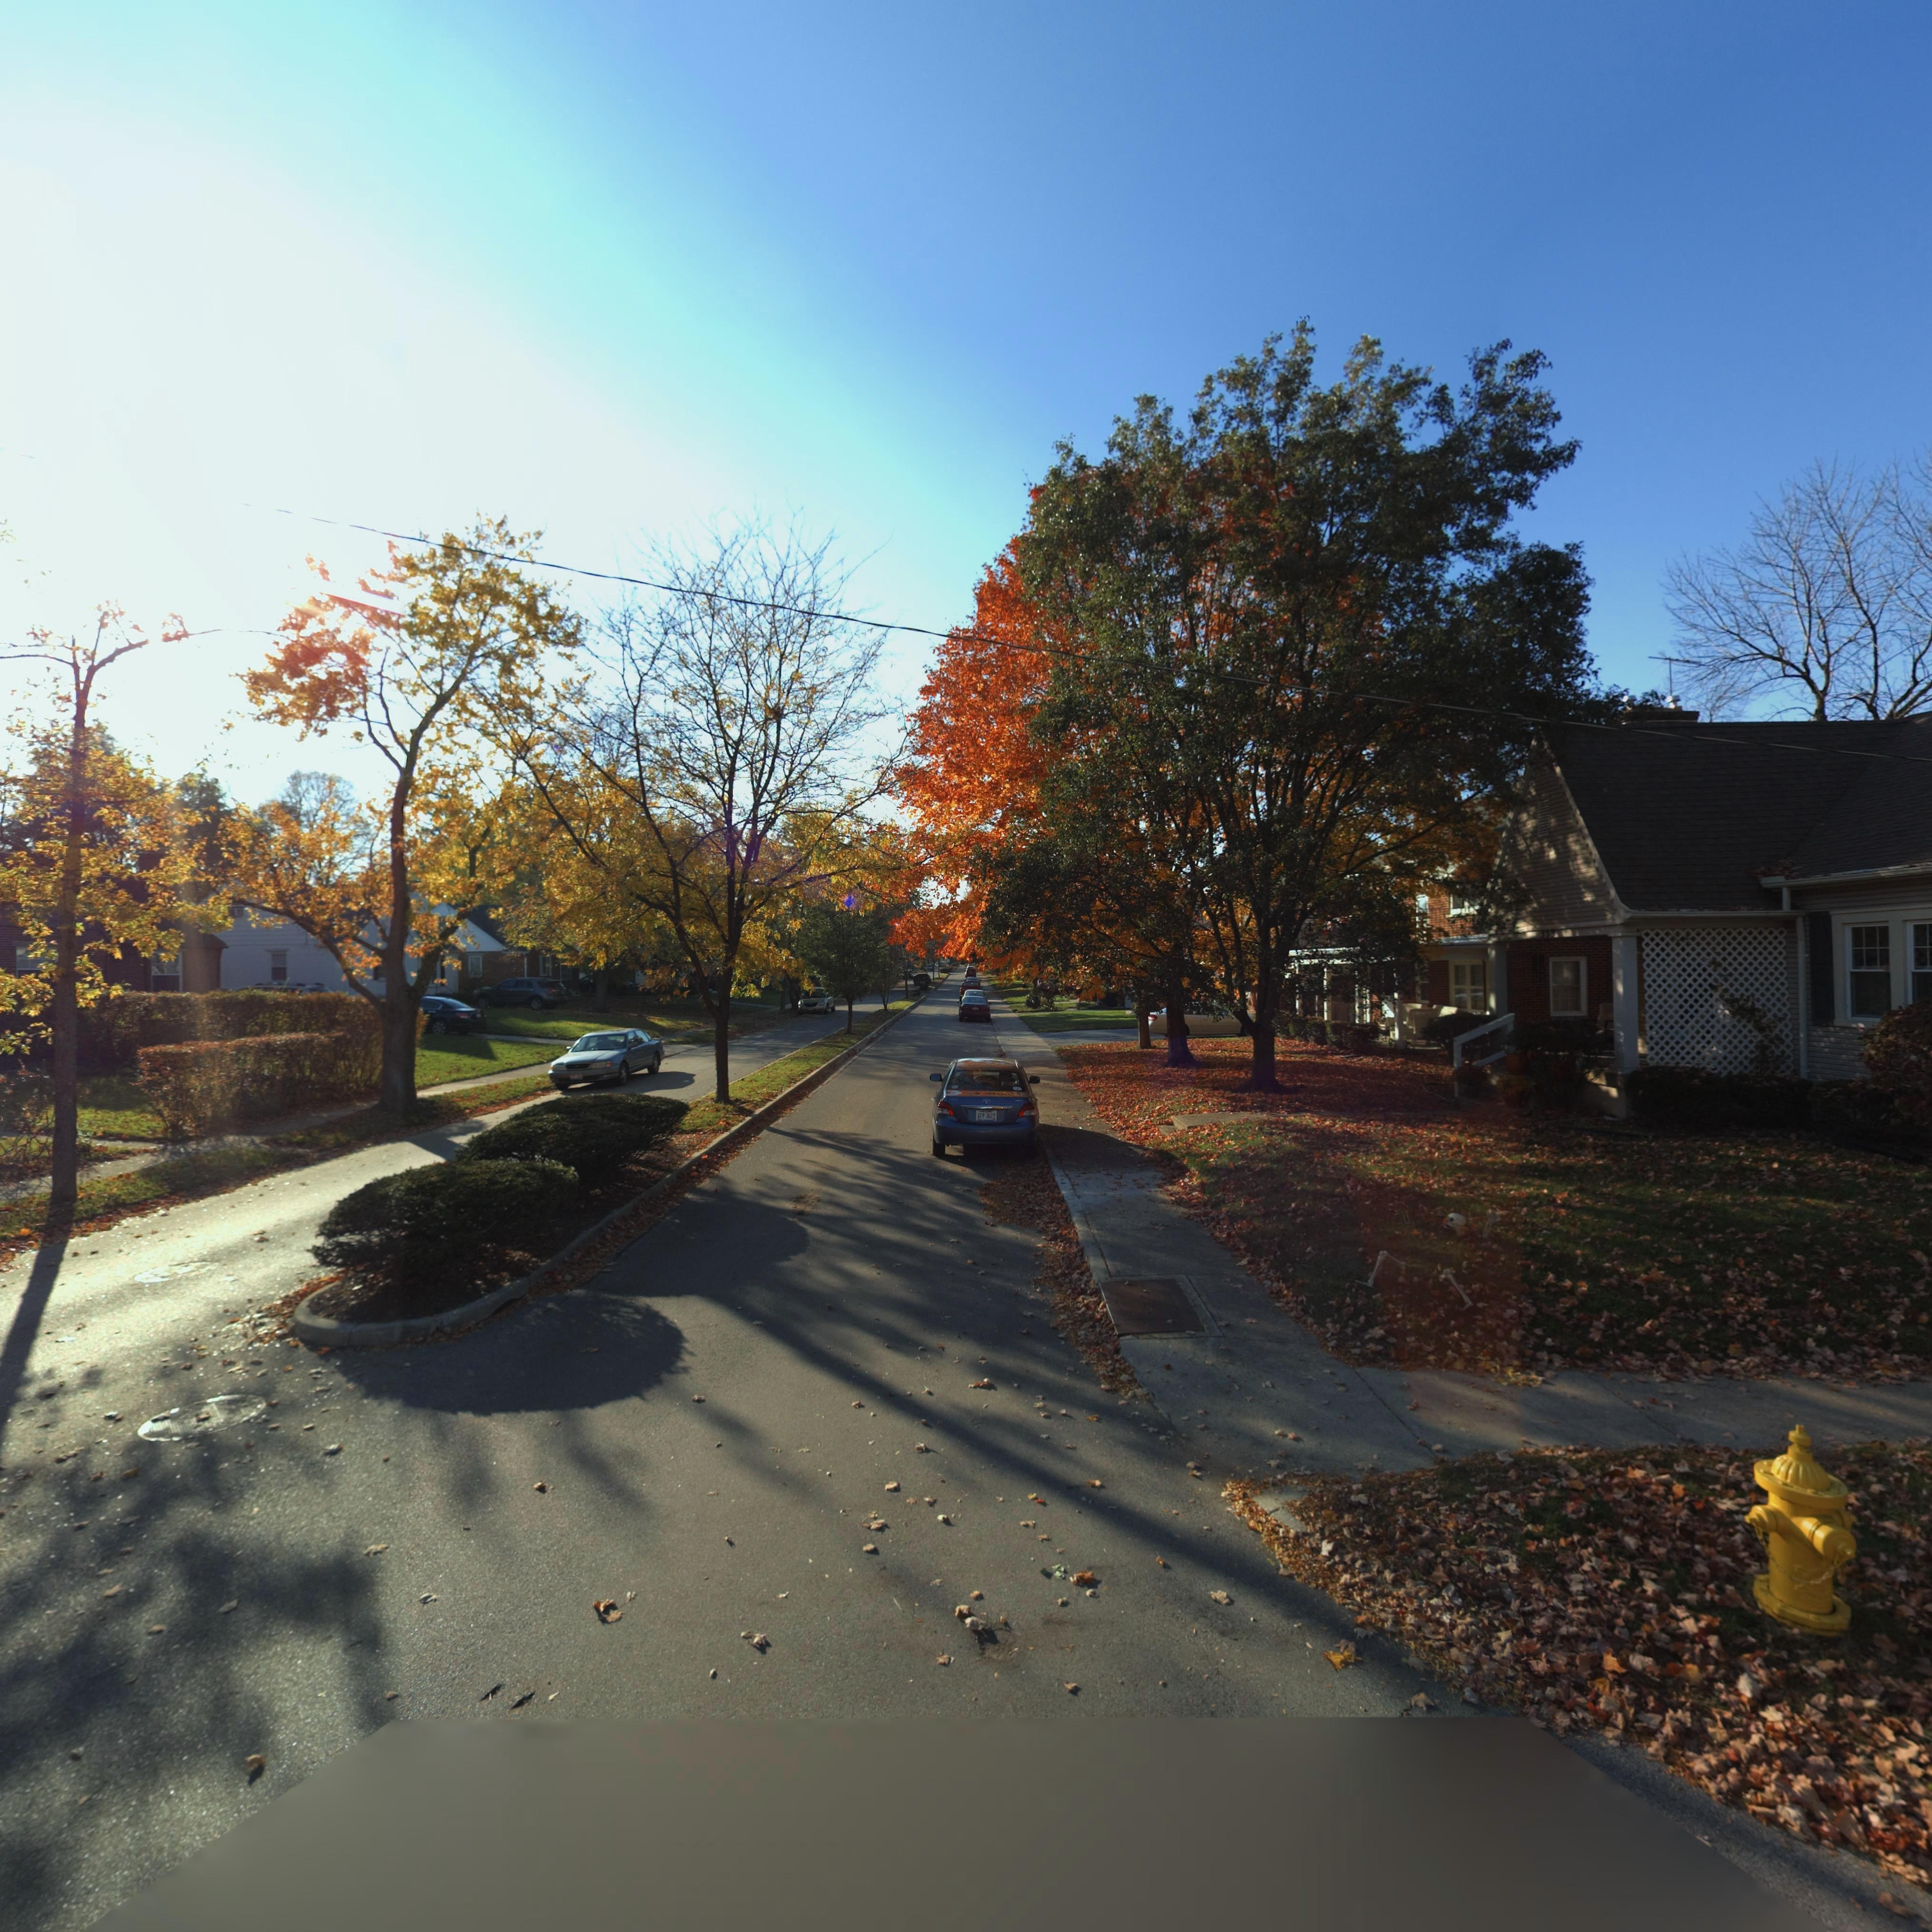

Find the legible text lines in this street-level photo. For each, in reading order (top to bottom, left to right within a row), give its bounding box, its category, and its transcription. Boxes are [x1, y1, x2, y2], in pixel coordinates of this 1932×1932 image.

[1539, 929, 1556, 938] StreetNumber: 359